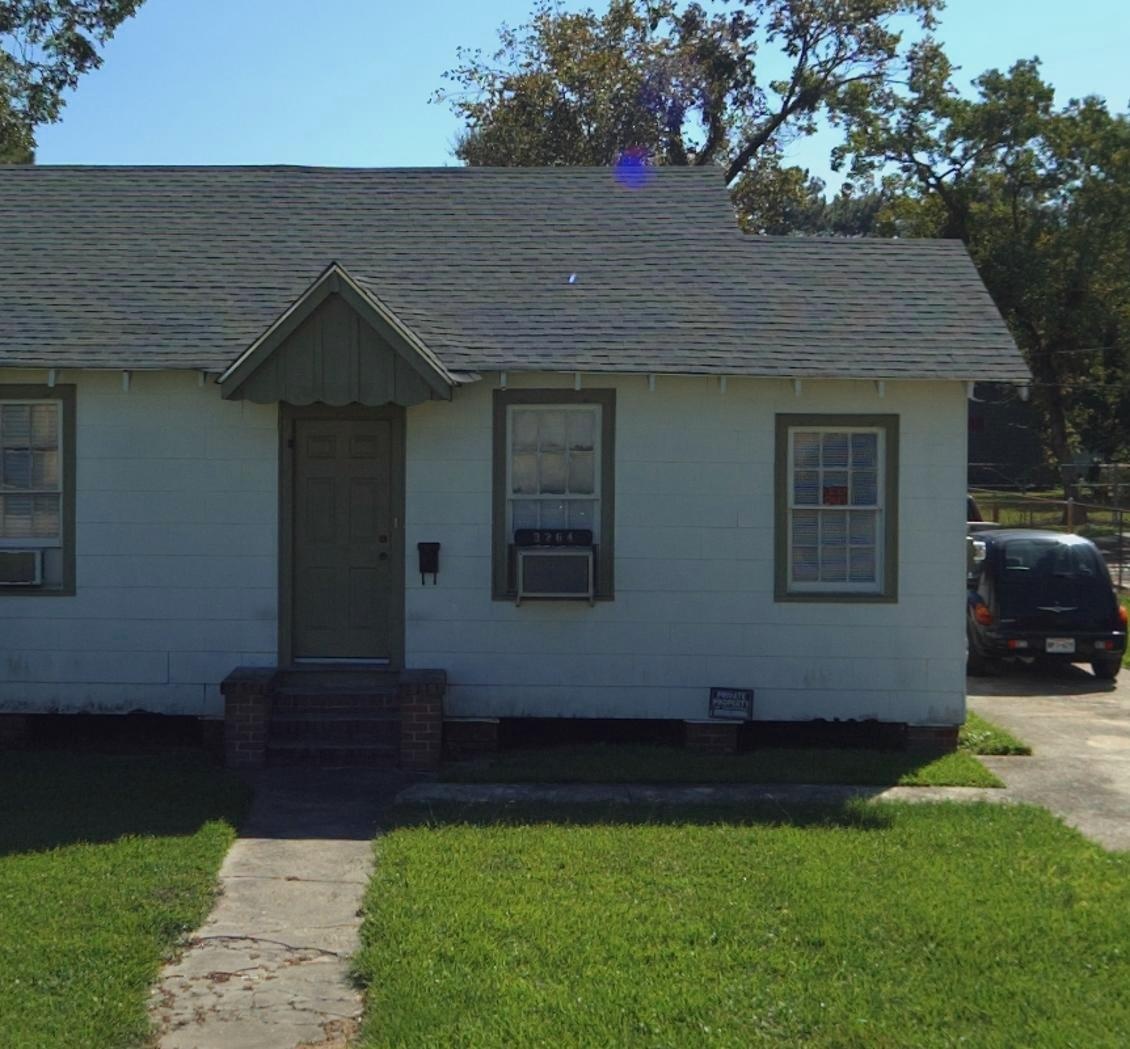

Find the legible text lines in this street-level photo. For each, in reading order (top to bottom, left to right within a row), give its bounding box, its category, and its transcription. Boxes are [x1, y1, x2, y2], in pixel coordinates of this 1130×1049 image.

[532, 531, 575, 544] StreetNumber: 3264